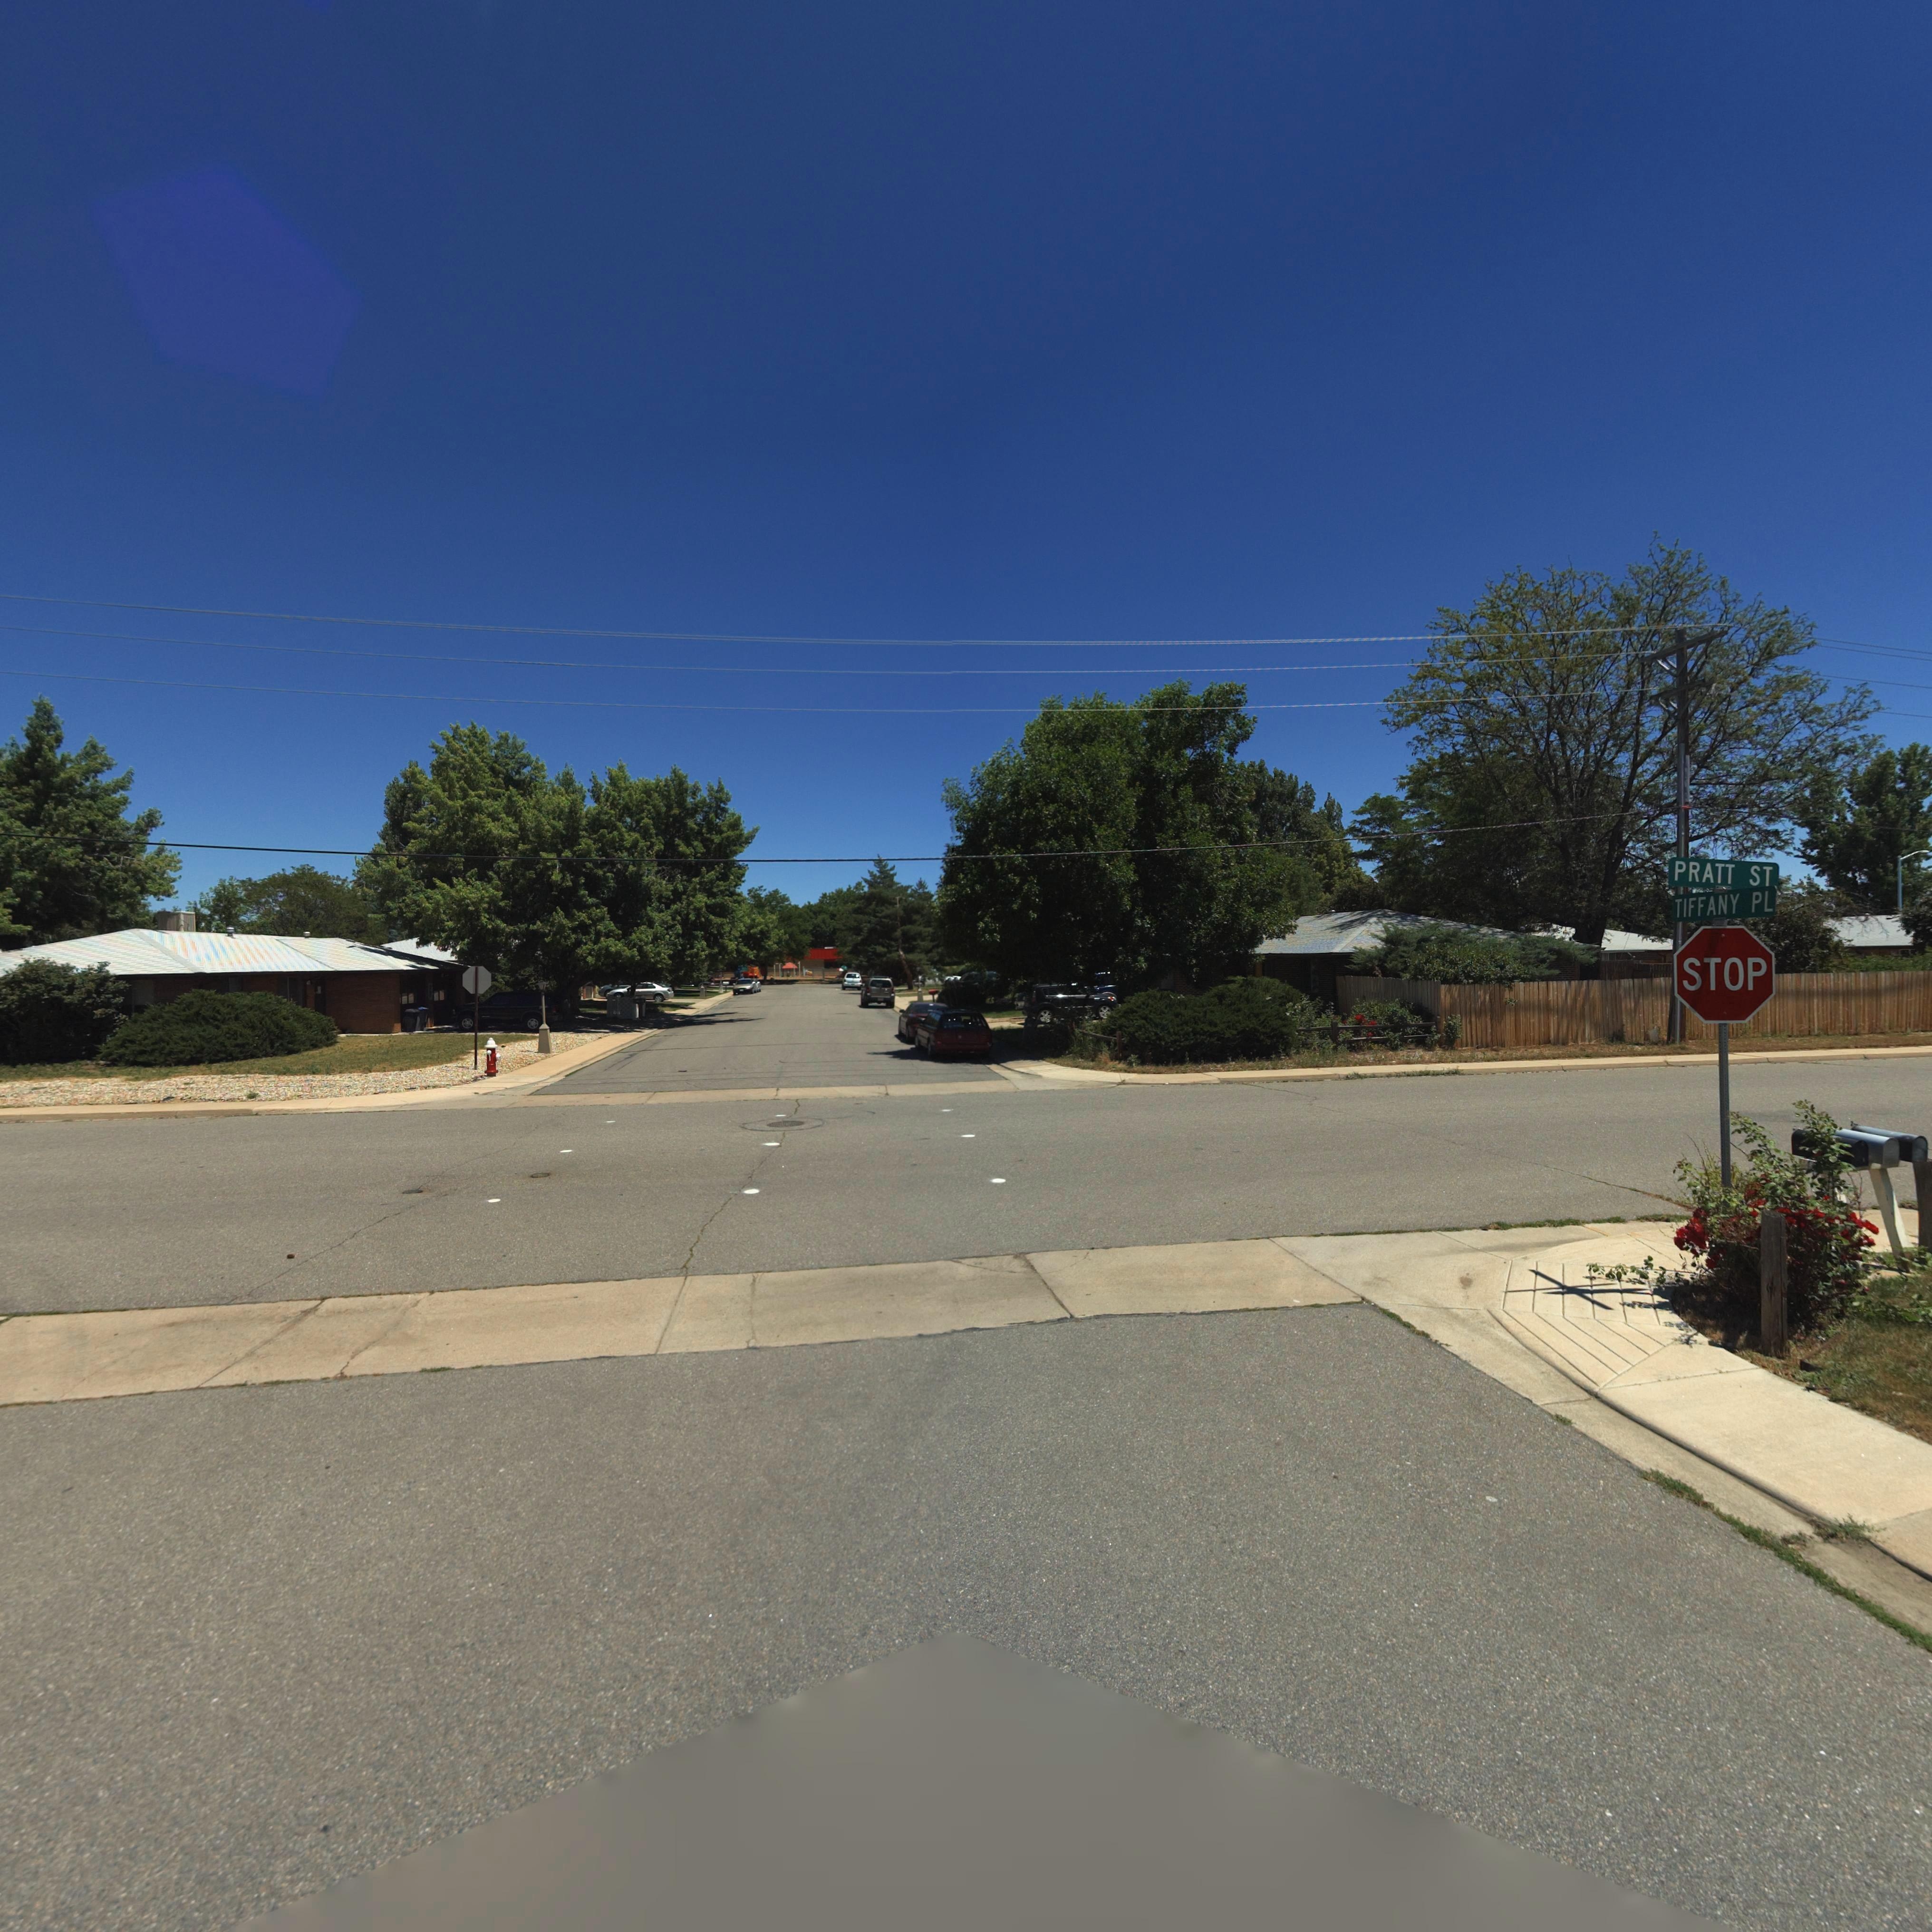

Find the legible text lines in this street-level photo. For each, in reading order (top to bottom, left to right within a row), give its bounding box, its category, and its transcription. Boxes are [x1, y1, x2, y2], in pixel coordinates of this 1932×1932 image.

[1673, 860, 1773, 887] StreetName: PRATT ST
[1674, 889, 1774, 919] StreetName: TIFFANY PL